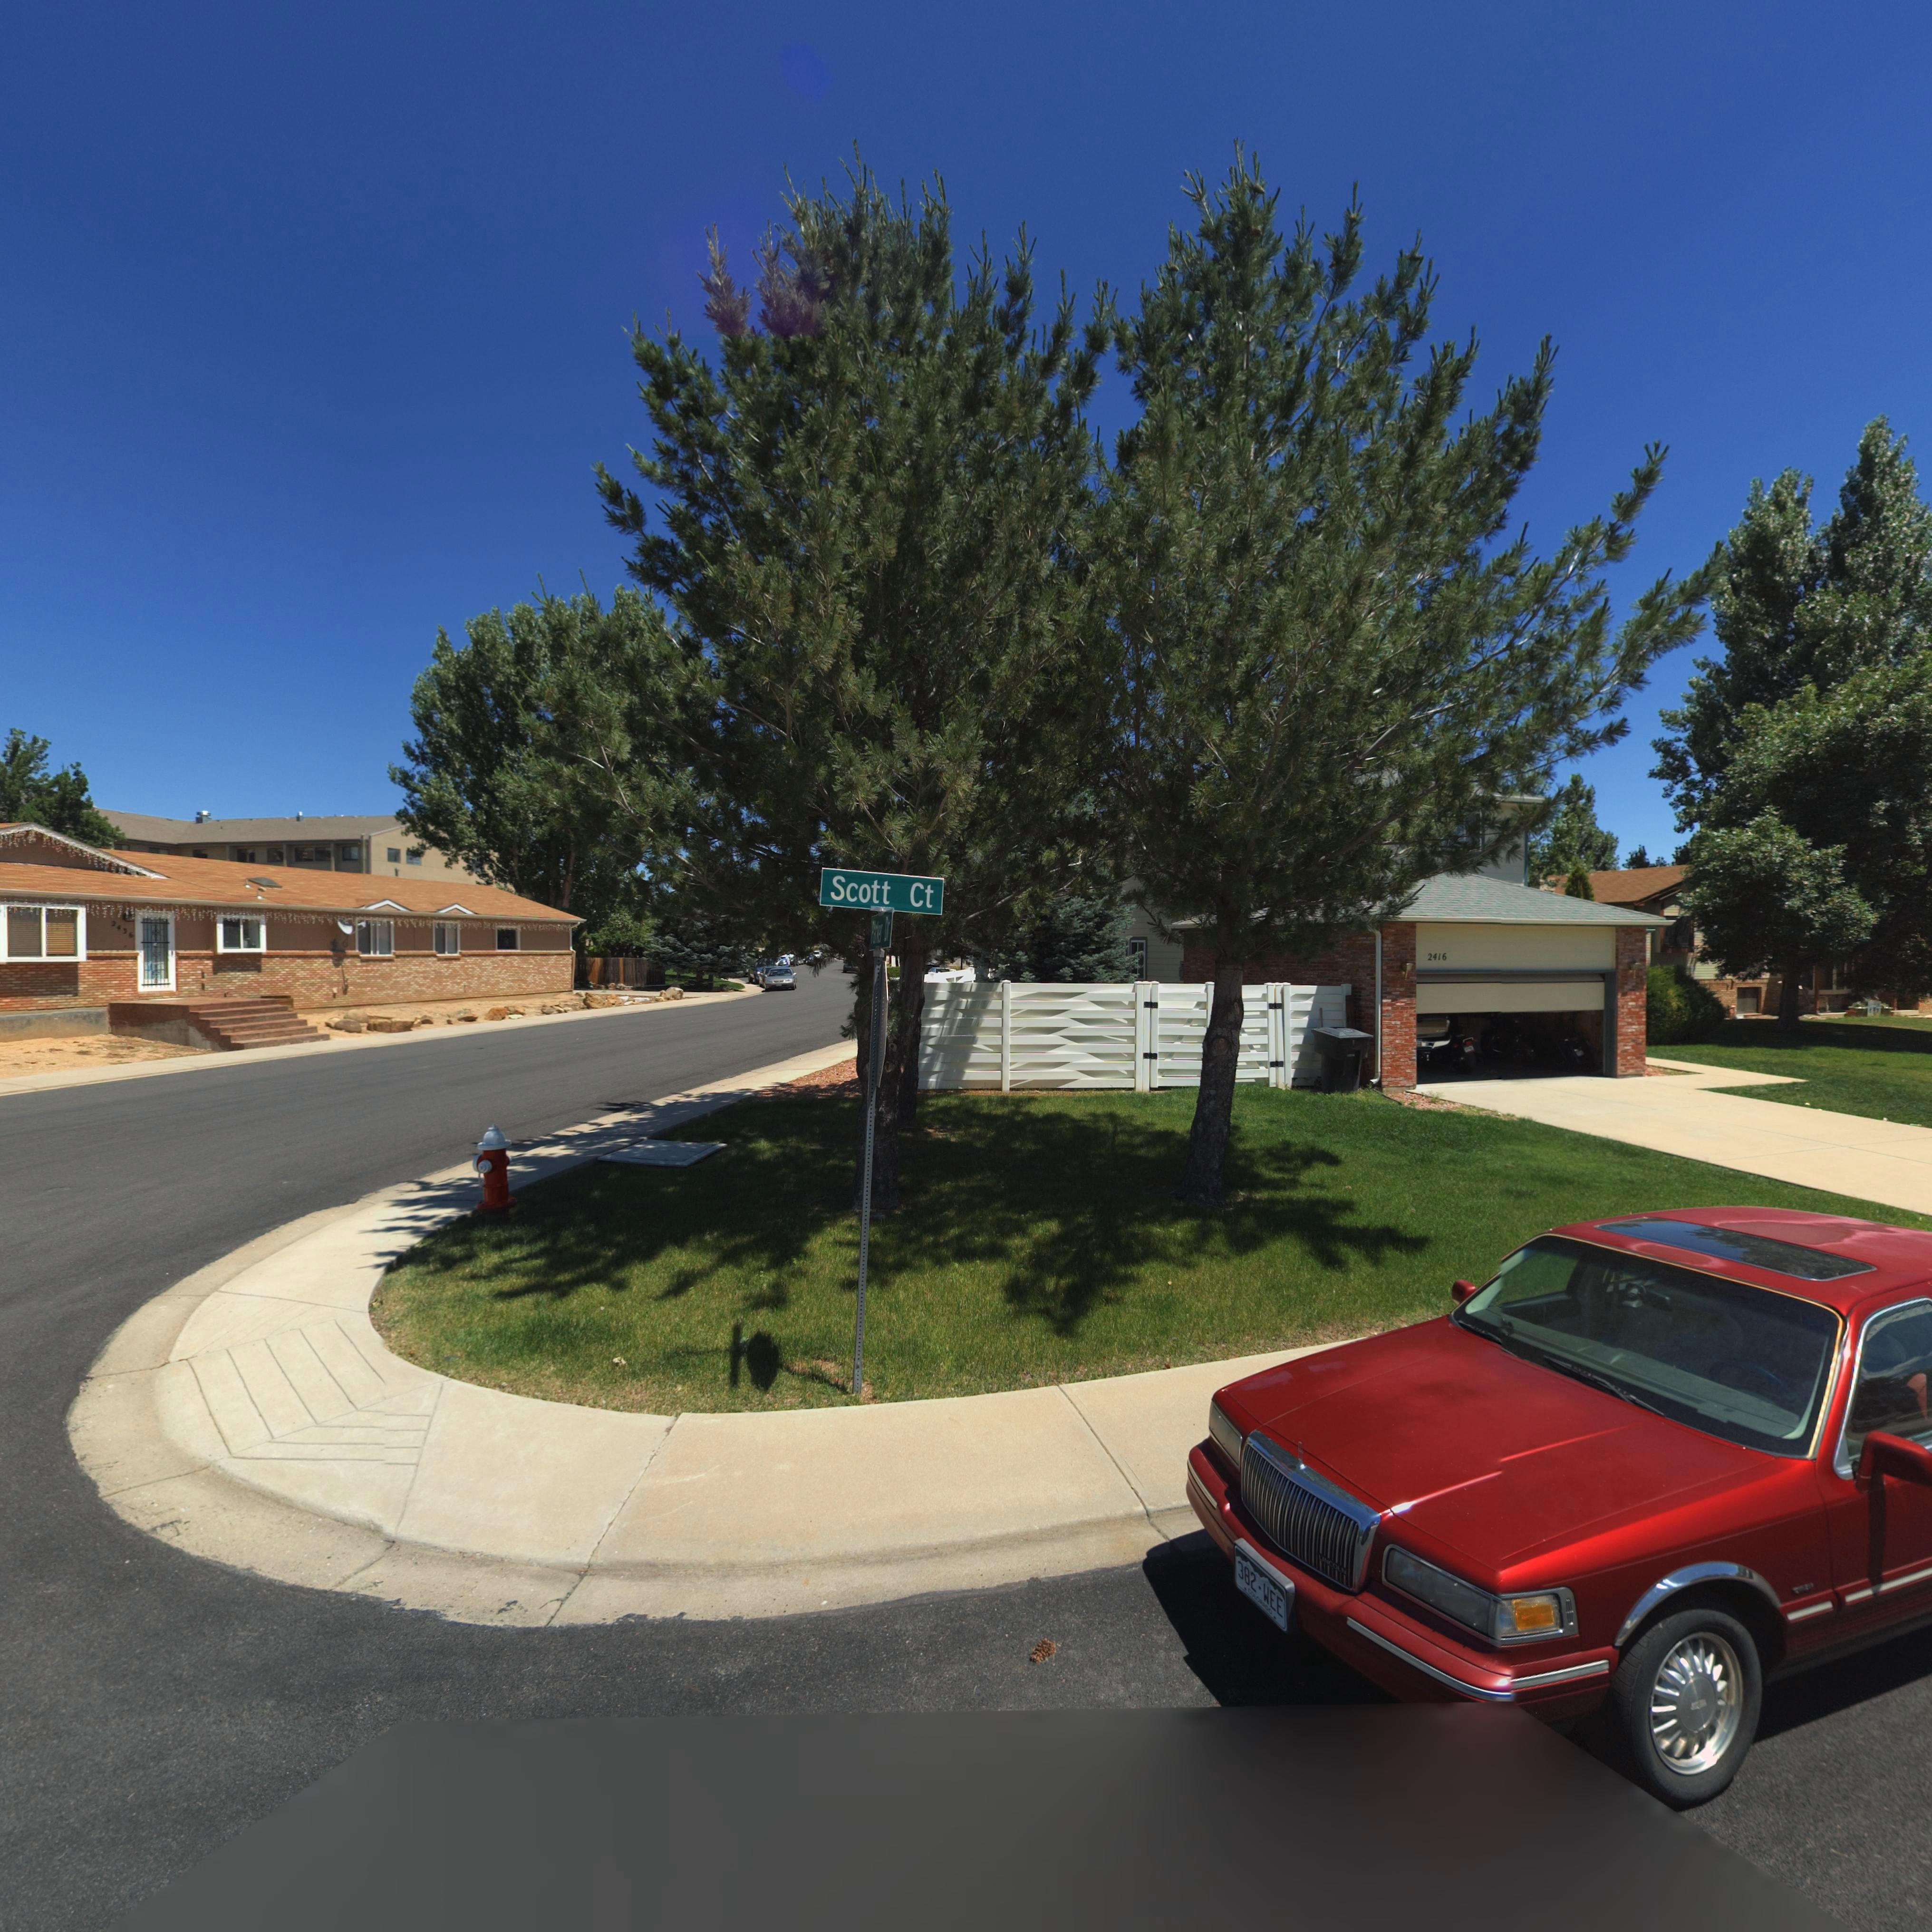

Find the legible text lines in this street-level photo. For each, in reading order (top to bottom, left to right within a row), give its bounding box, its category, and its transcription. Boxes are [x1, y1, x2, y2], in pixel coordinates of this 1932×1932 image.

[830, 874, 934, 909] StreetName: Scott Ct
[111, 920, 133, 938] StreetNumber: 2436
[870, 916, 890, 944] StreetName: Parker Dr
[1427, 953, 1447, 961] StreetNumber: 2416